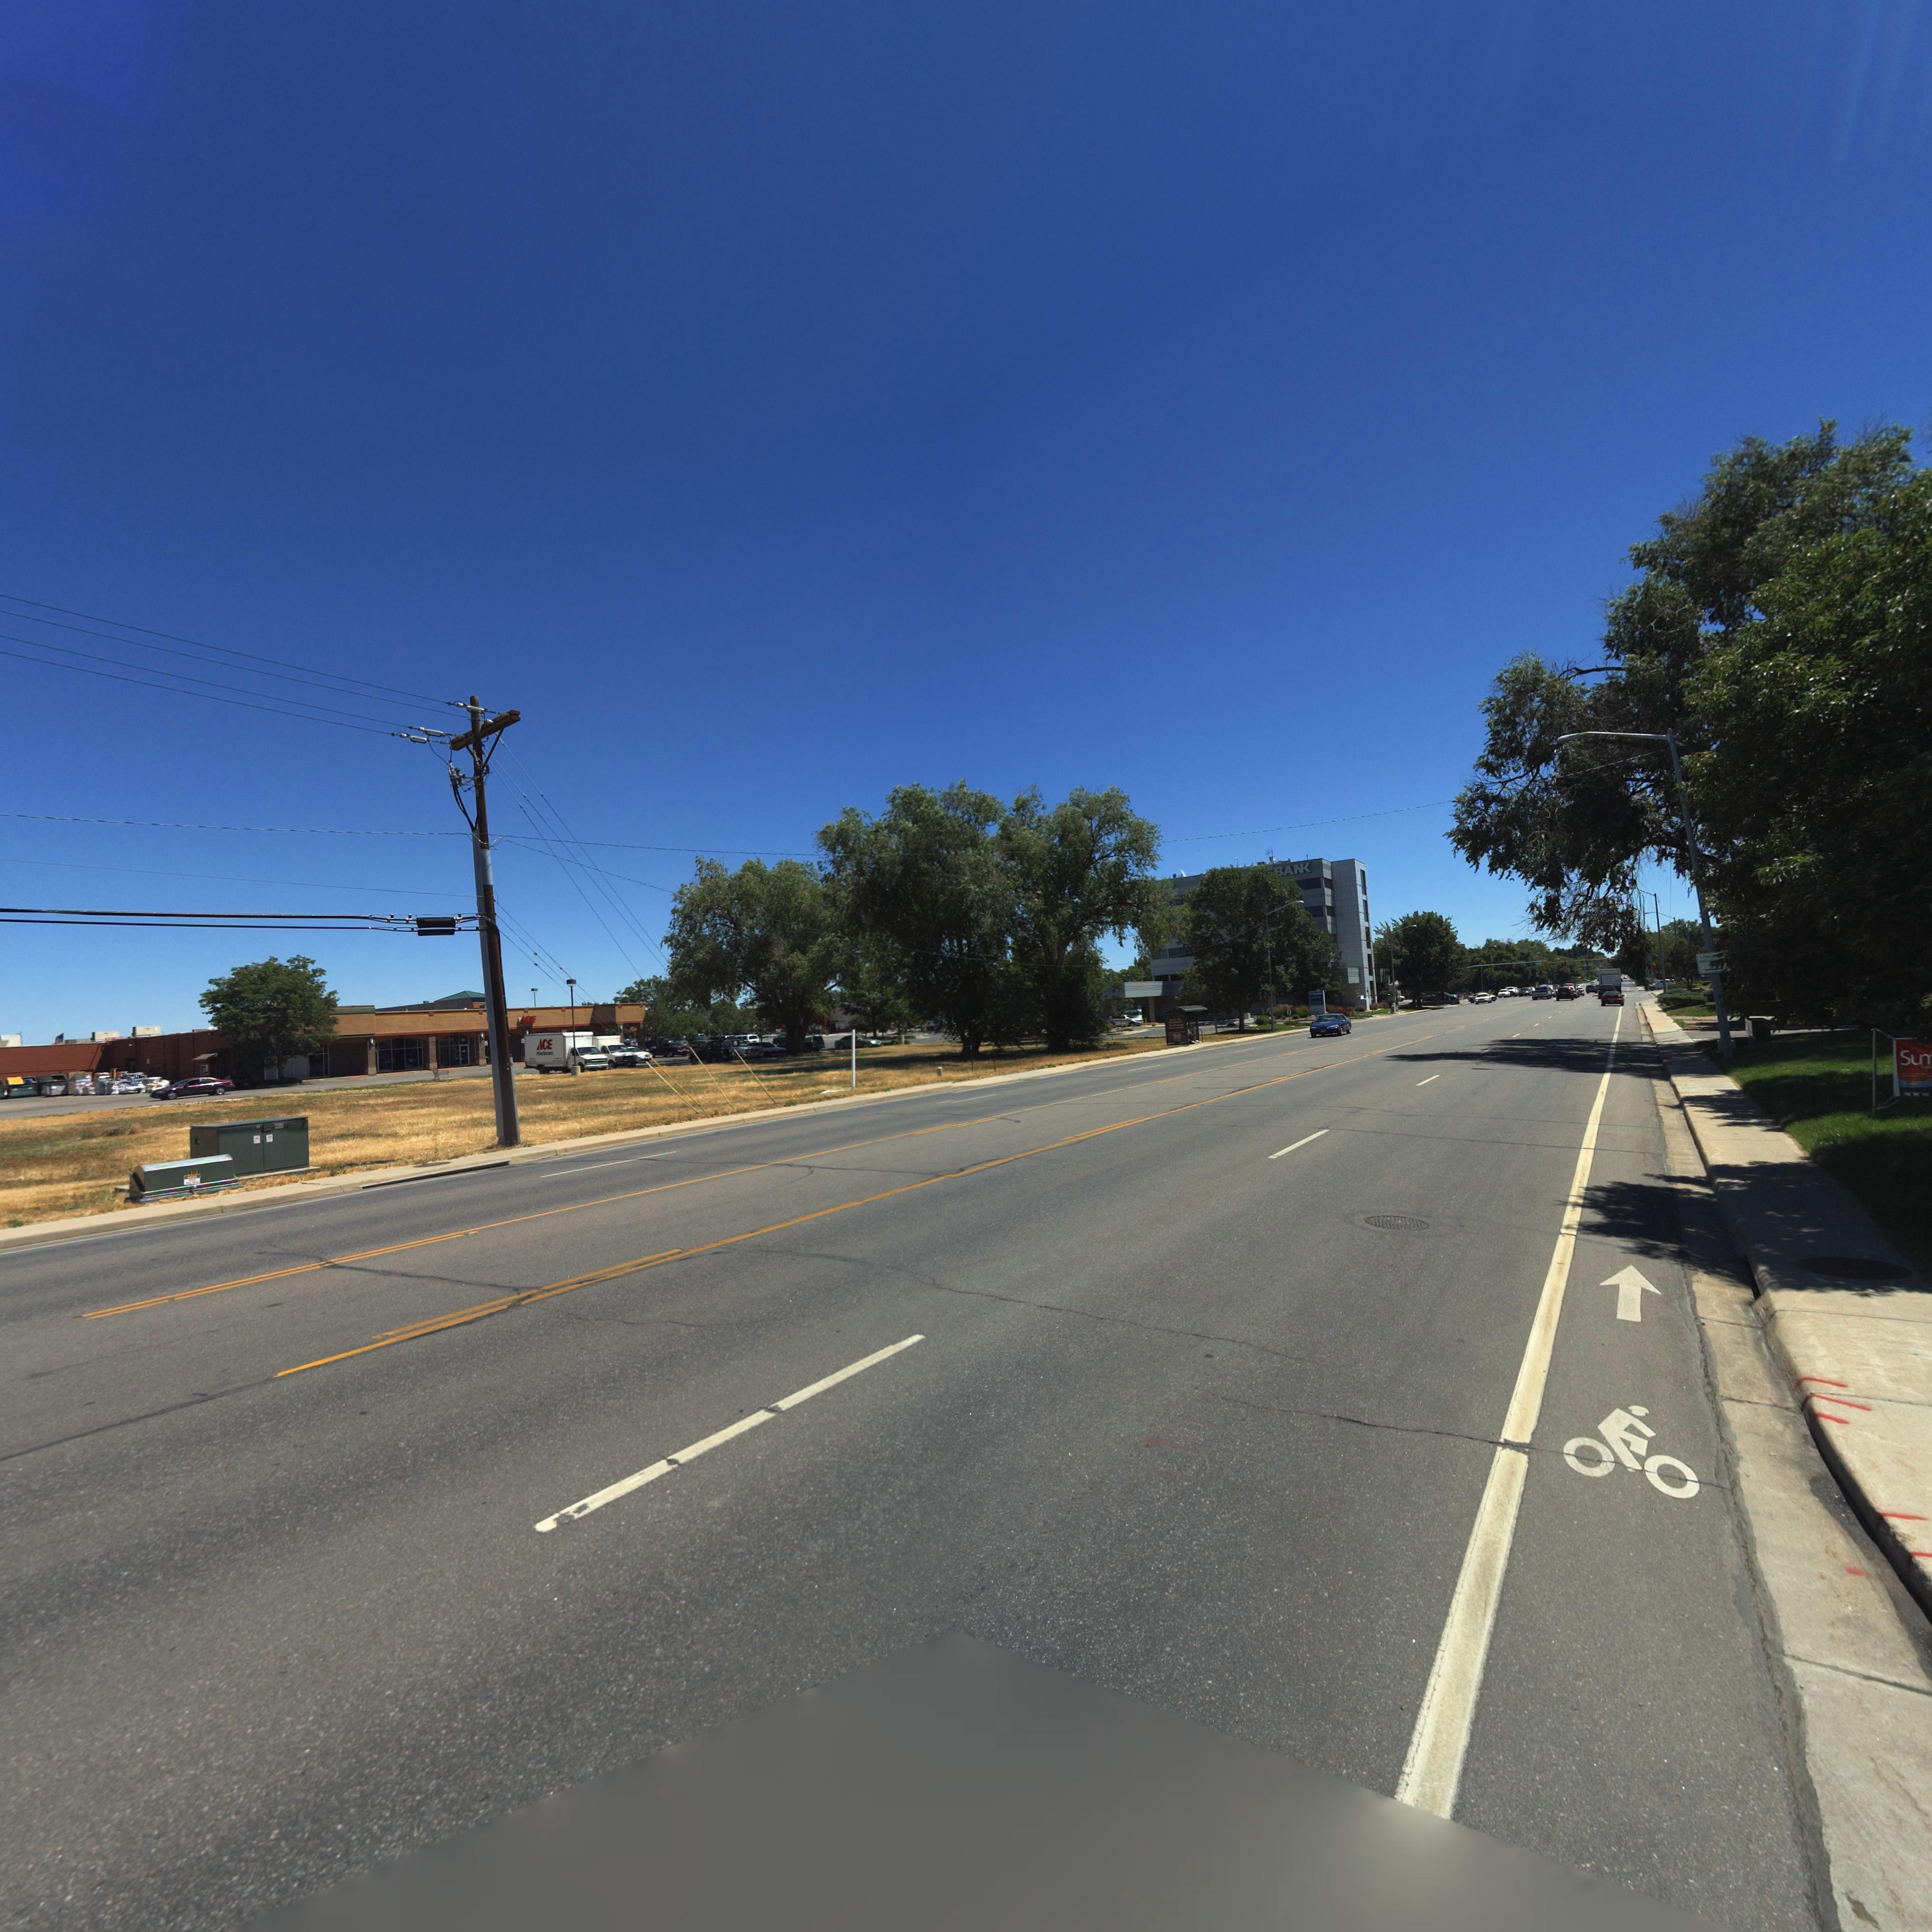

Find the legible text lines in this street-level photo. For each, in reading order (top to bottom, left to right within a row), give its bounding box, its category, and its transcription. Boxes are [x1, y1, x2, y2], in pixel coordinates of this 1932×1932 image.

[1273, 862, 1313, 877] BusinessName: BANK
[518, 1014, 537, 1024] BusinessName: ACE
[1899, 1049, 1922, 1066] BusinessName: Su